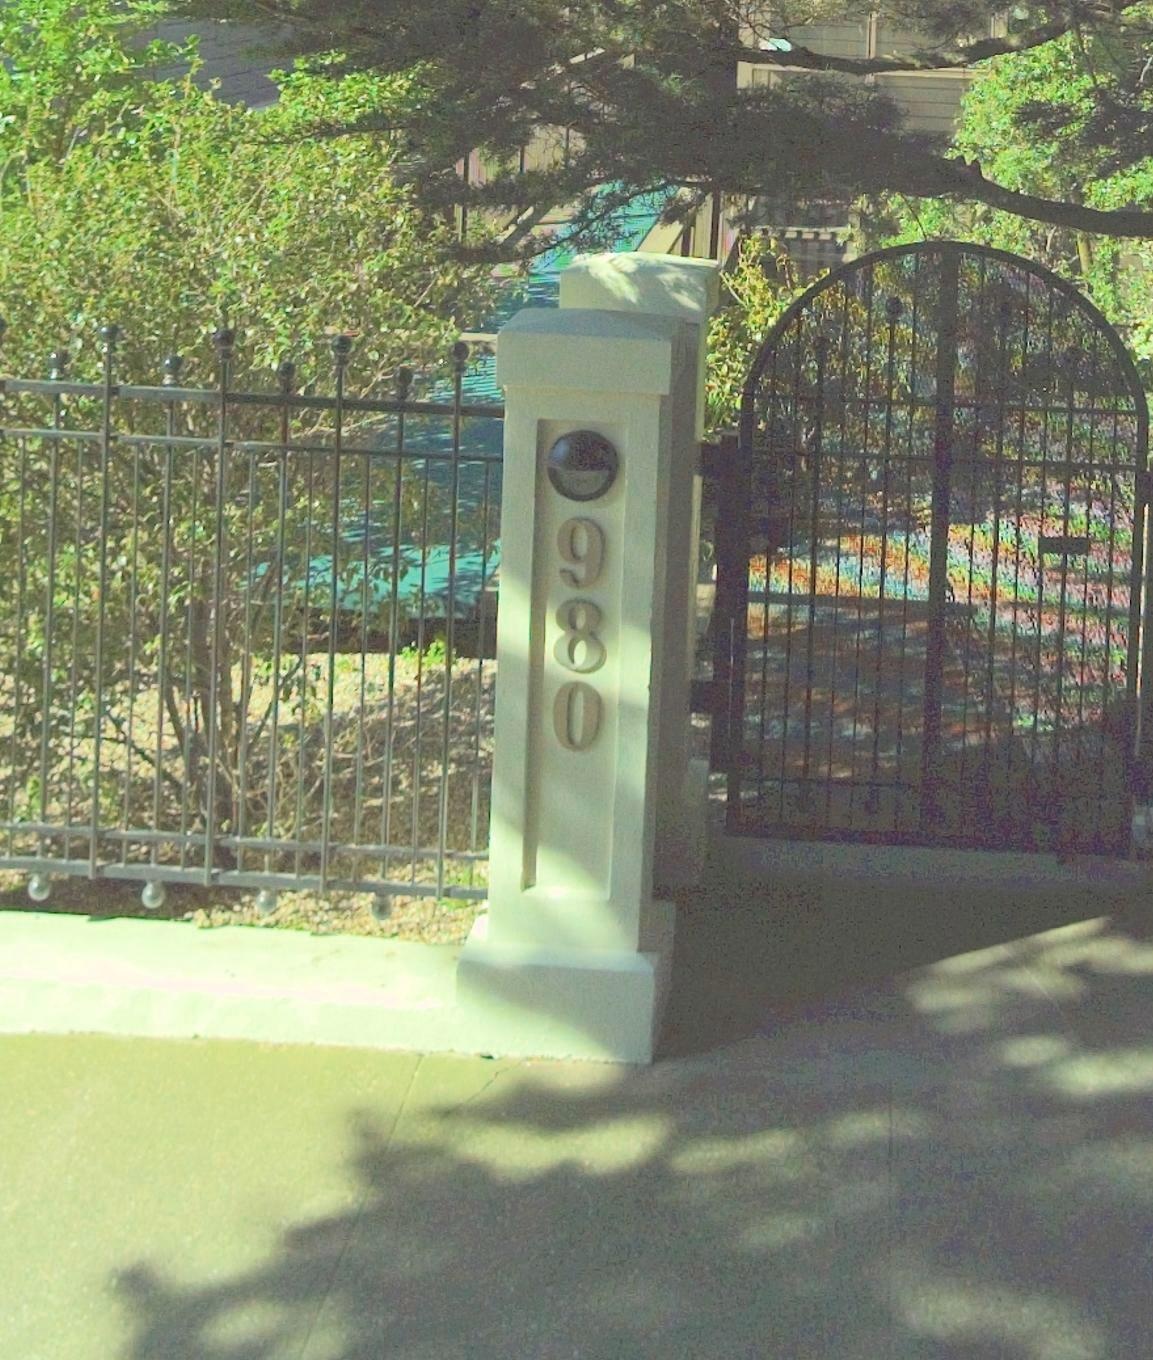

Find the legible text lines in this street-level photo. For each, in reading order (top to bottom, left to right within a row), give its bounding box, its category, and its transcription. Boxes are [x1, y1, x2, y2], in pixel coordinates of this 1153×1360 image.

[552, 513, 608, 753] StreetNumber: 980